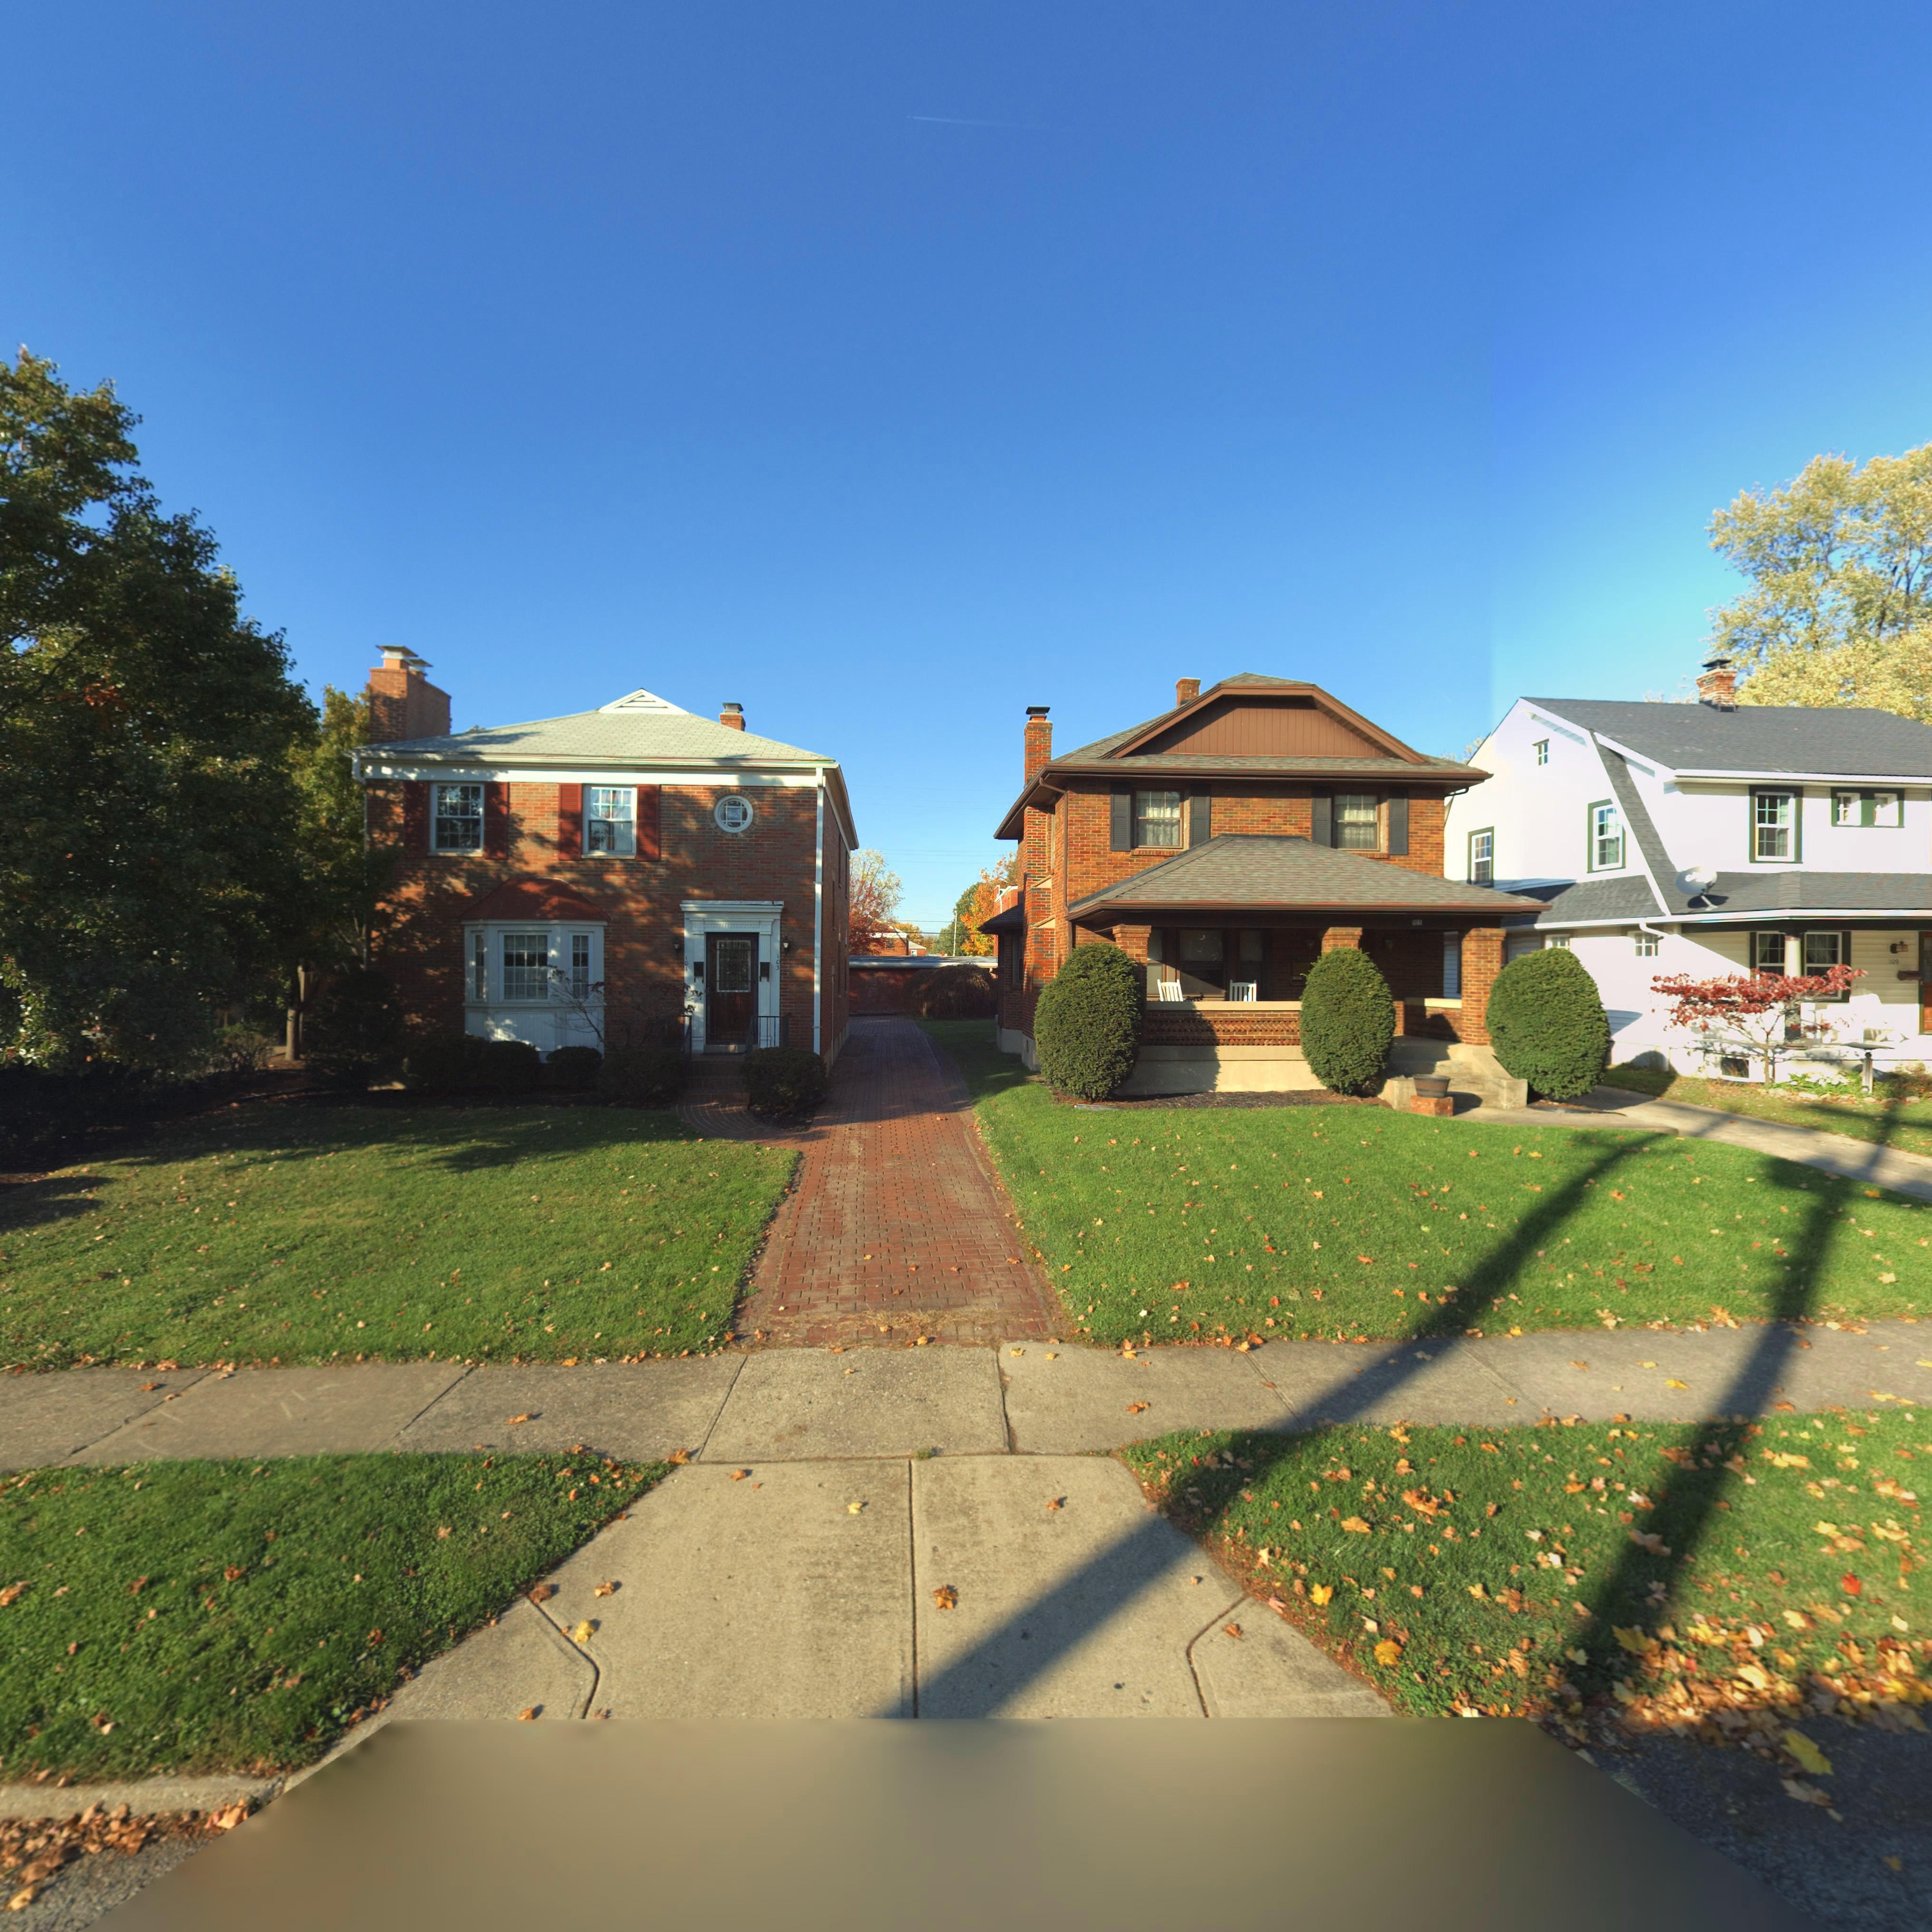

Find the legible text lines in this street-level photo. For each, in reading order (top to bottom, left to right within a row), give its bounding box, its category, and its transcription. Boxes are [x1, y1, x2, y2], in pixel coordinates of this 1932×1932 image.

[1411, 919, 1422, 925] StreetNumber: *05
[685, 954, 688, 971] StreetNumber: 101
[775, 954, 780, 971] StreetNumber: 103
[1888, 958, 1899, 965] StreetNumber: 109